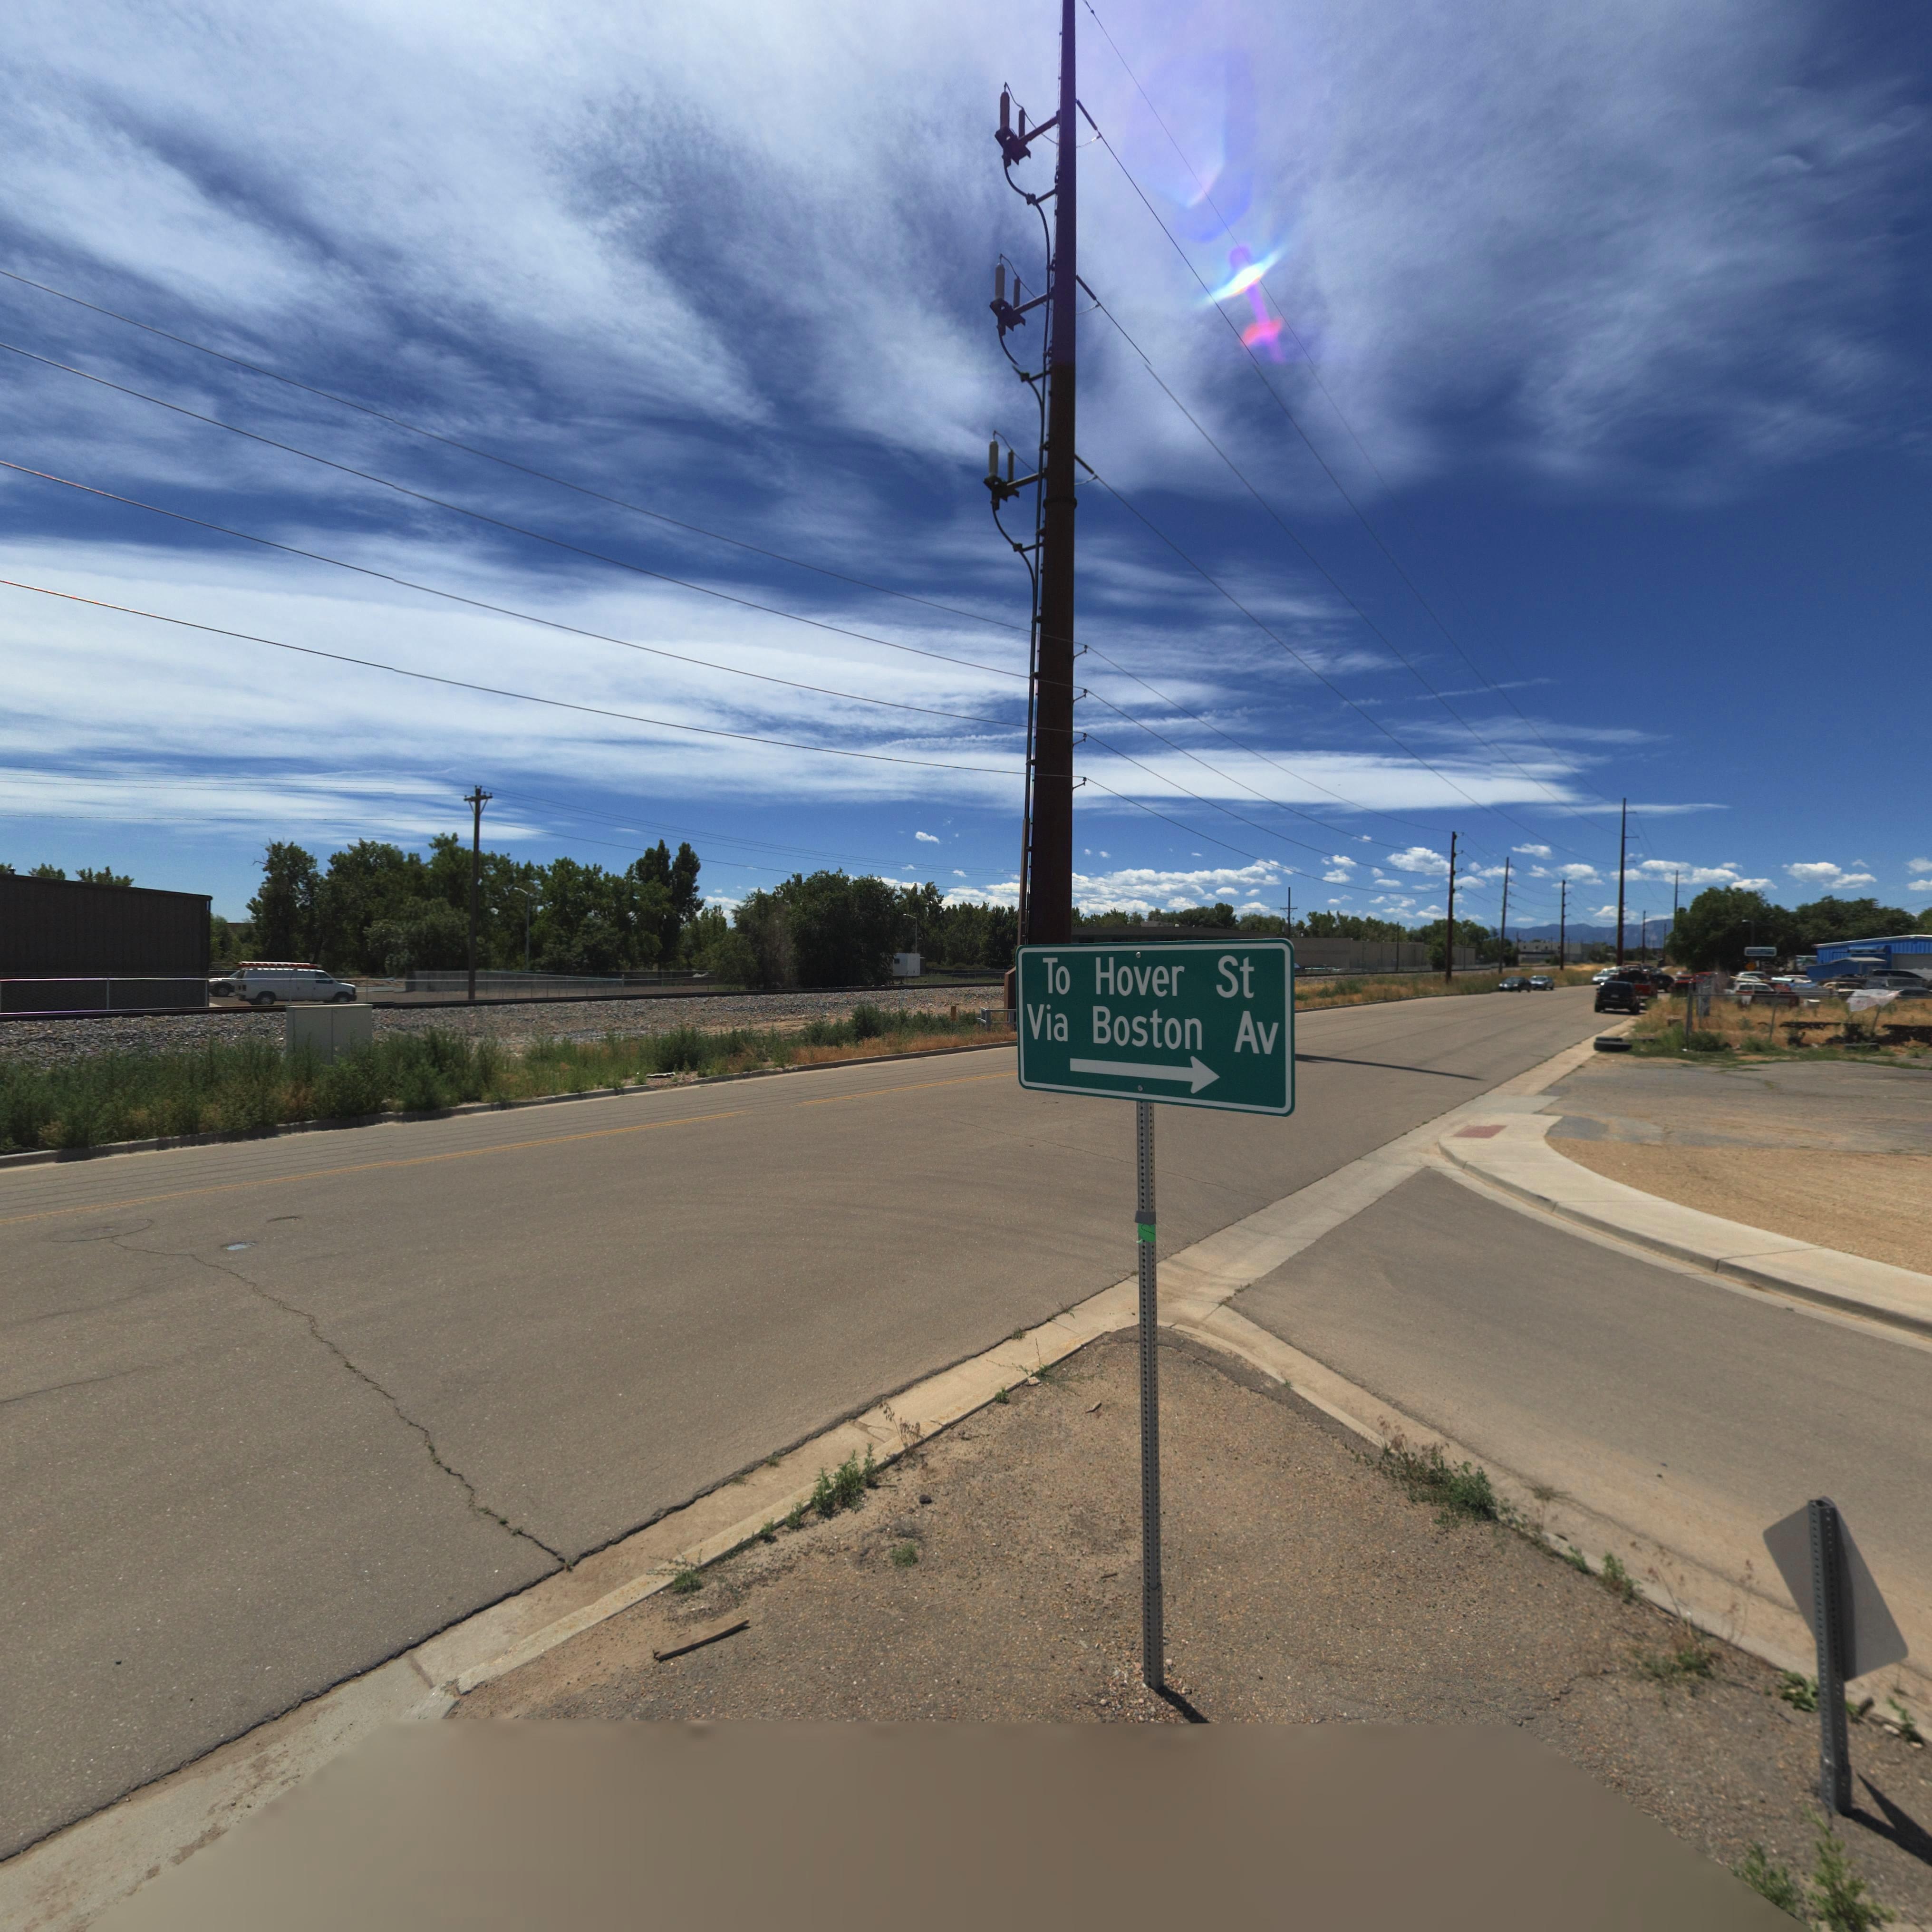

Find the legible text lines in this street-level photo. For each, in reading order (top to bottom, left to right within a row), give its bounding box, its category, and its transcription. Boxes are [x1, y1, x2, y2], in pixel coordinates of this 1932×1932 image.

[1093, 956, 1254, 997] BusinessName: Hover St
[1091, 1004, 1280, 1056] StreetName: Boston Av